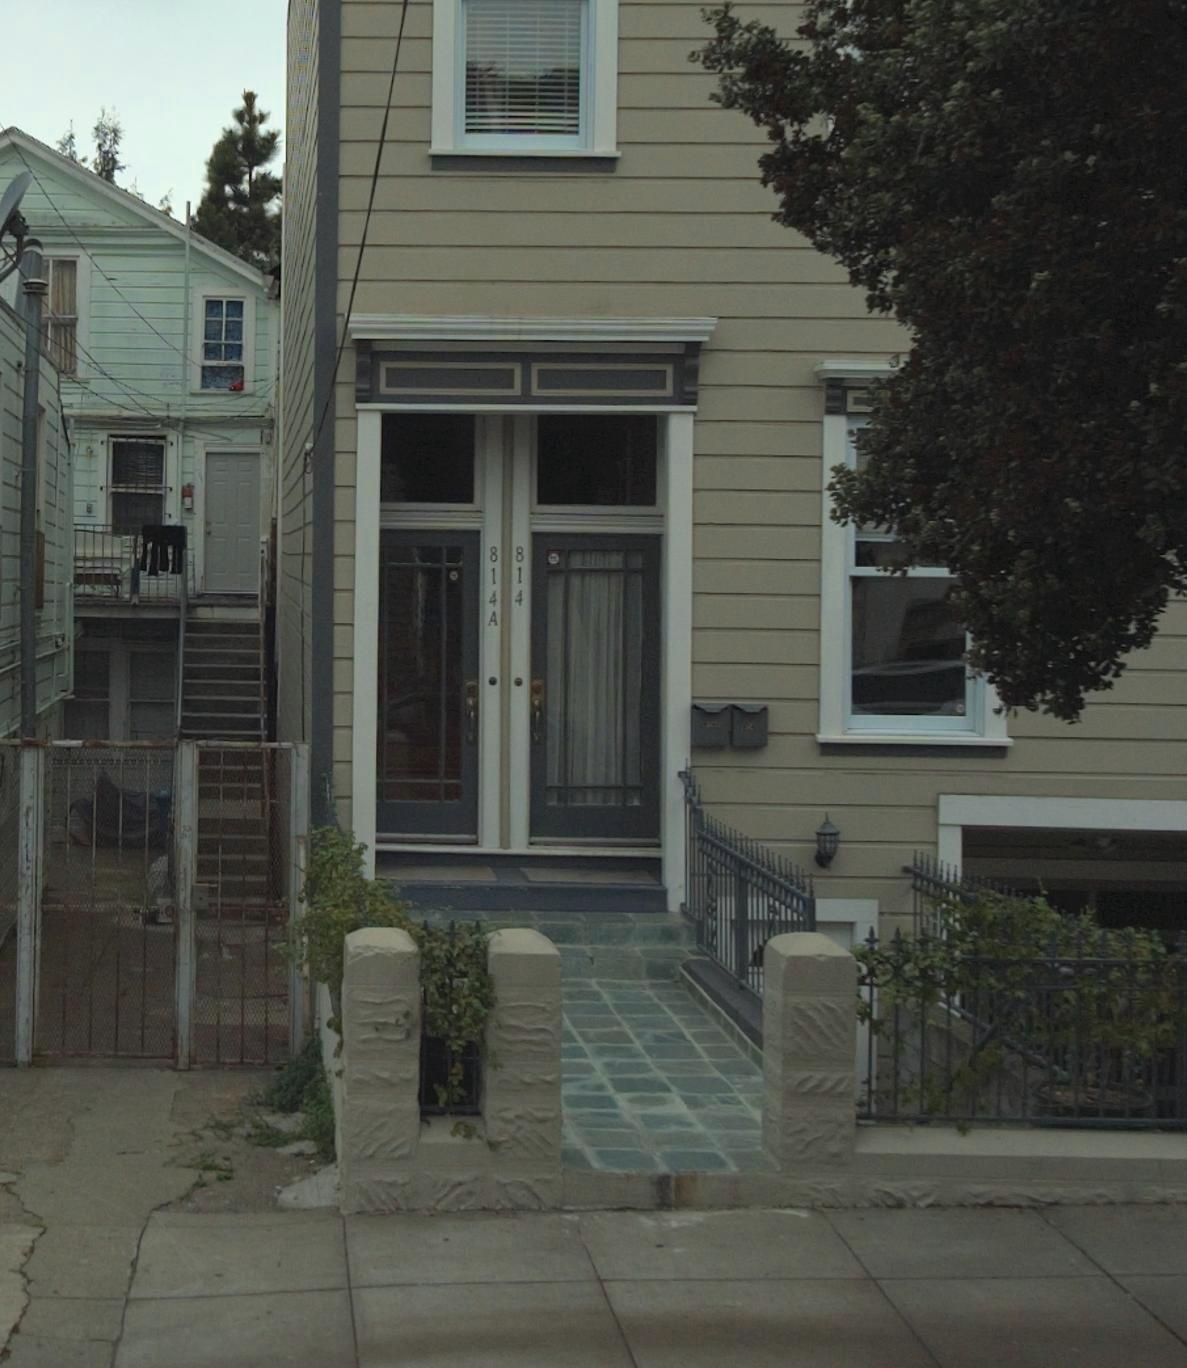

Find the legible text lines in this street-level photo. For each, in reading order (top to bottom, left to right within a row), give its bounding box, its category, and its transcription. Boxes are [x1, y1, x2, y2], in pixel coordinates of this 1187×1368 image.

[487, 543, 499, 629] StreetNumber: 814A
[513, 544, 526, 608] StreetNumber: 814